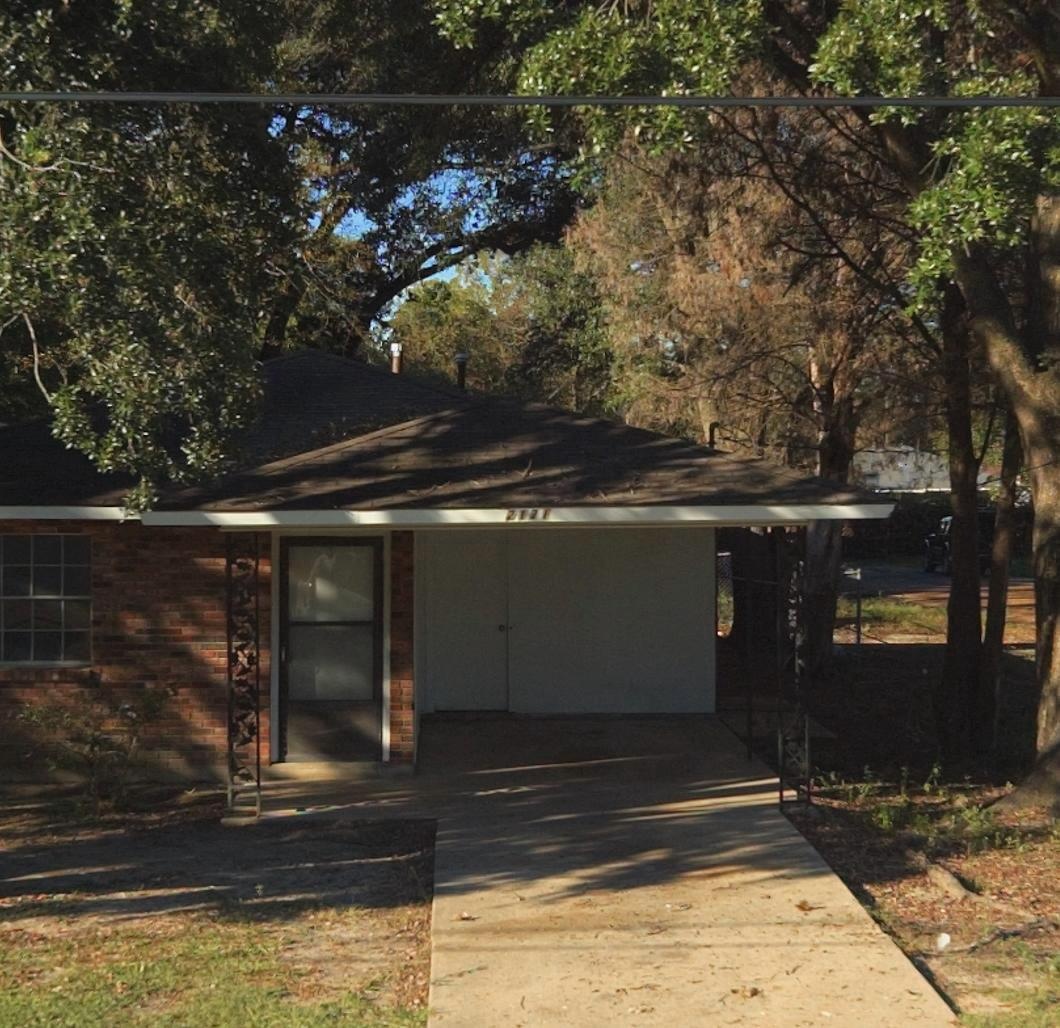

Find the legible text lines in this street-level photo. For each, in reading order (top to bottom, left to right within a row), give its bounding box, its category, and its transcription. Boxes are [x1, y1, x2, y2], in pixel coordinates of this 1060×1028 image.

[506, 508, 549, 521] StreetNumber: 2171